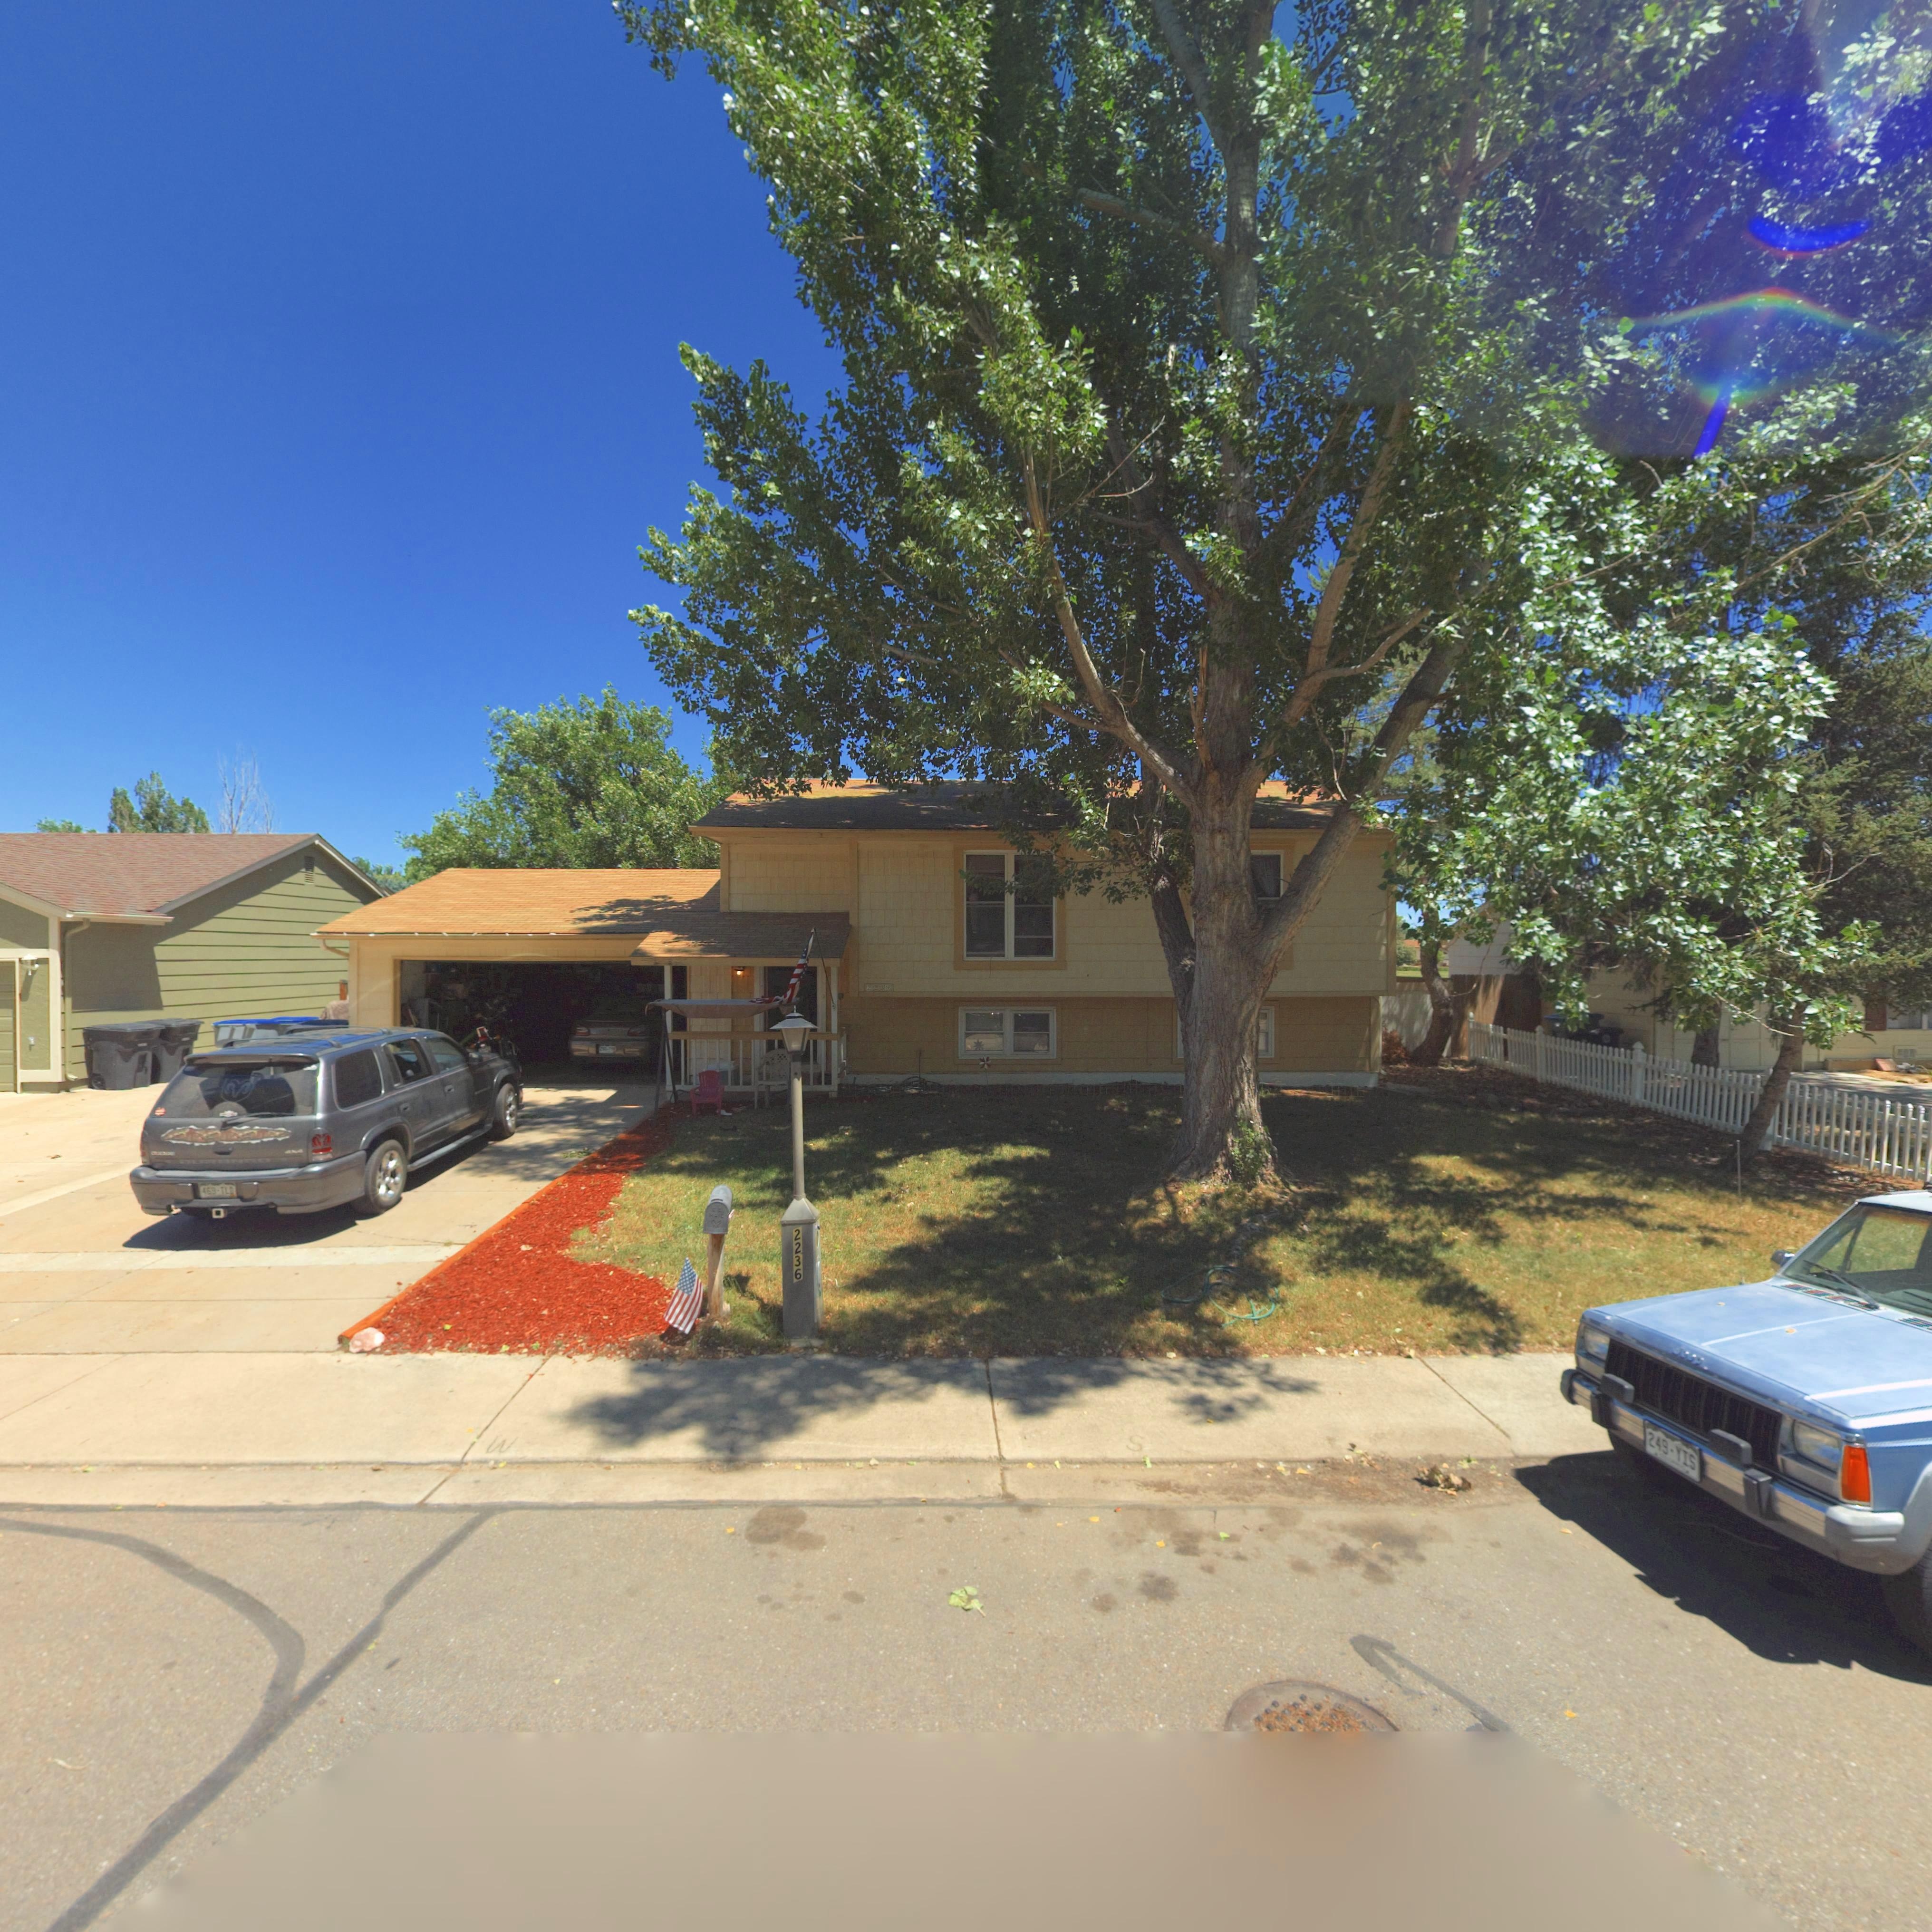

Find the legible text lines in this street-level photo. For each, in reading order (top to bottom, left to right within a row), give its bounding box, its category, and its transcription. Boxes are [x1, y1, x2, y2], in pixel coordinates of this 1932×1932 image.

[867, 985, 891, 991] StreetNumber: 2236
[793, 1227, 802, 1280] StreetNumber: 2236